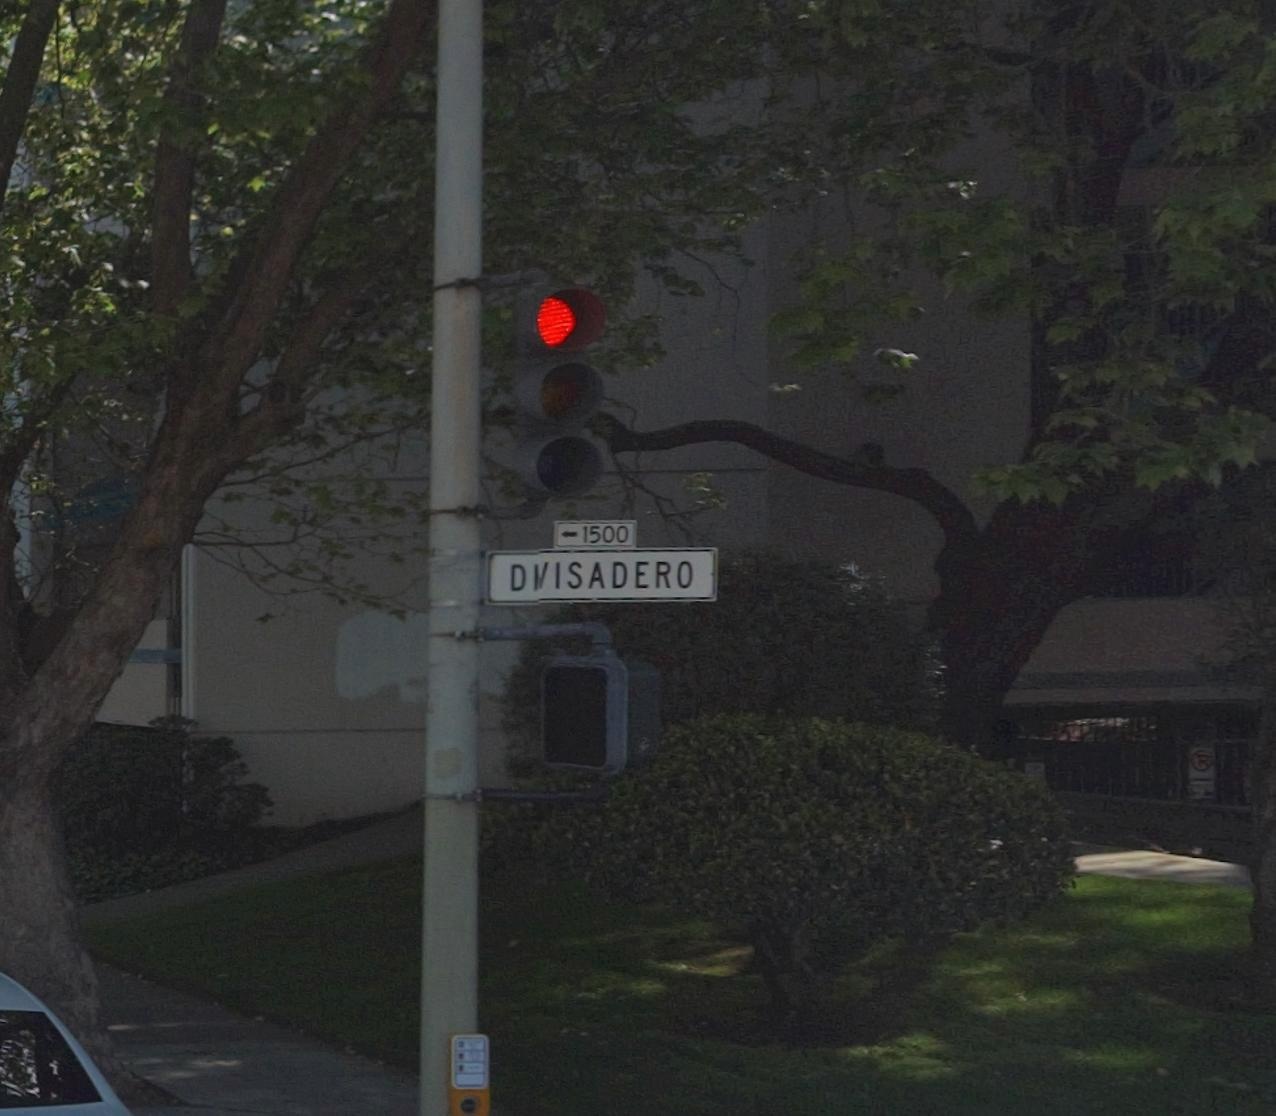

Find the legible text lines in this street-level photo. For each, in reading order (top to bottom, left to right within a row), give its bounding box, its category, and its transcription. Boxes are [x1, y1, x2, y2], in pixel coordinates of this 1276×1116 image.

[553, 522, 634, 547] StreetNumberRange: <-1500
[503, 550, 697, 598] StreetName: DIVISADERO